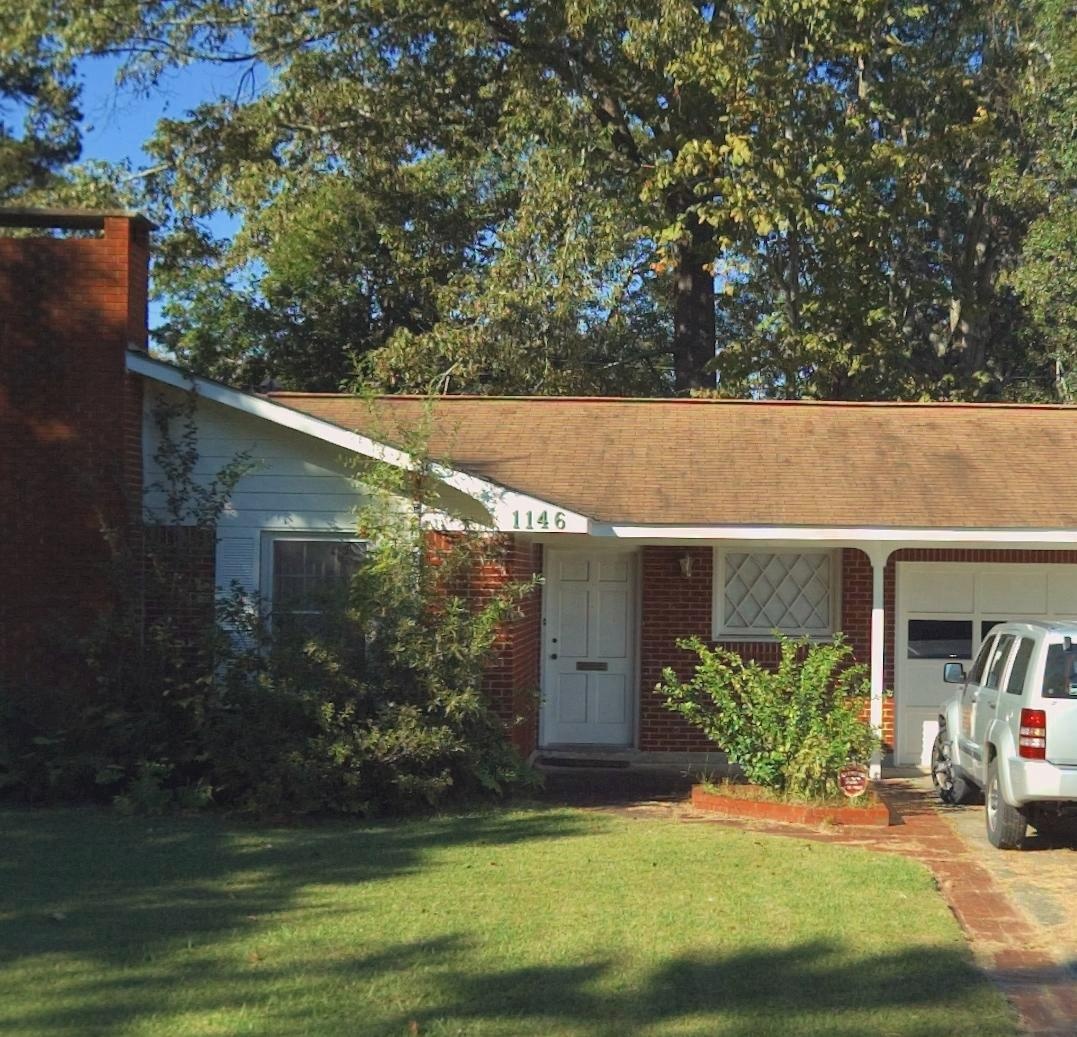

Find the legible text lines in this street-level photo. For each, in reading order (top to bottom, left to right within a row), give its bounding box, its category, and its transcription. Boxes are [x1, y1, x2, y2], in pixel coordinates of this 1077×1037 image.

[510, 508, 568, 532] StreetNumber: 1146